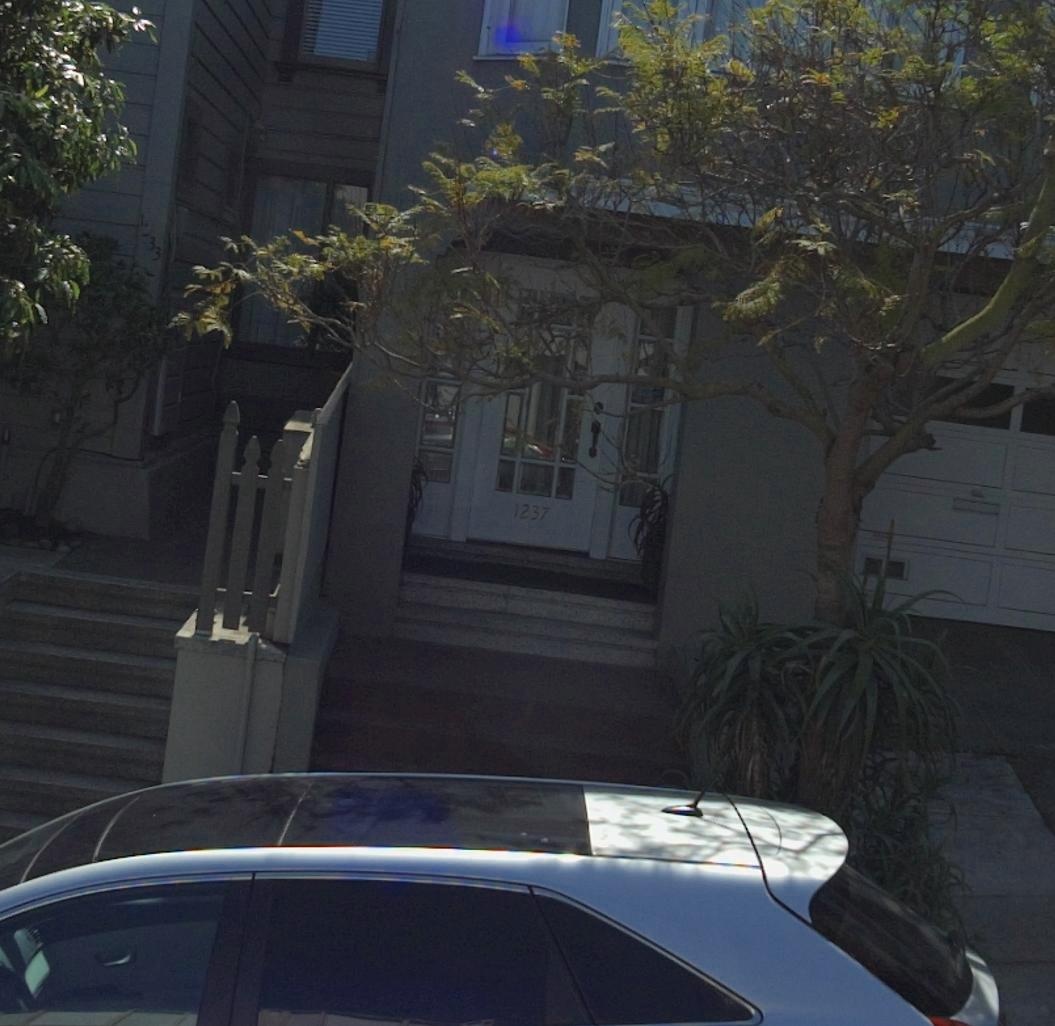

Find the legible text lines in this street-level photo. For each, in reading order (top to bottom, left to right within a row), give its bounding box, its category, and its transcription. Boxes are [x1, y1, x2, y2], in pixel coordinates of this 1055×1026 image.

[137, 213, 164, 263] StreetNumber: 1*33
[512, 501, 554, 522] StreetNumber: 1237